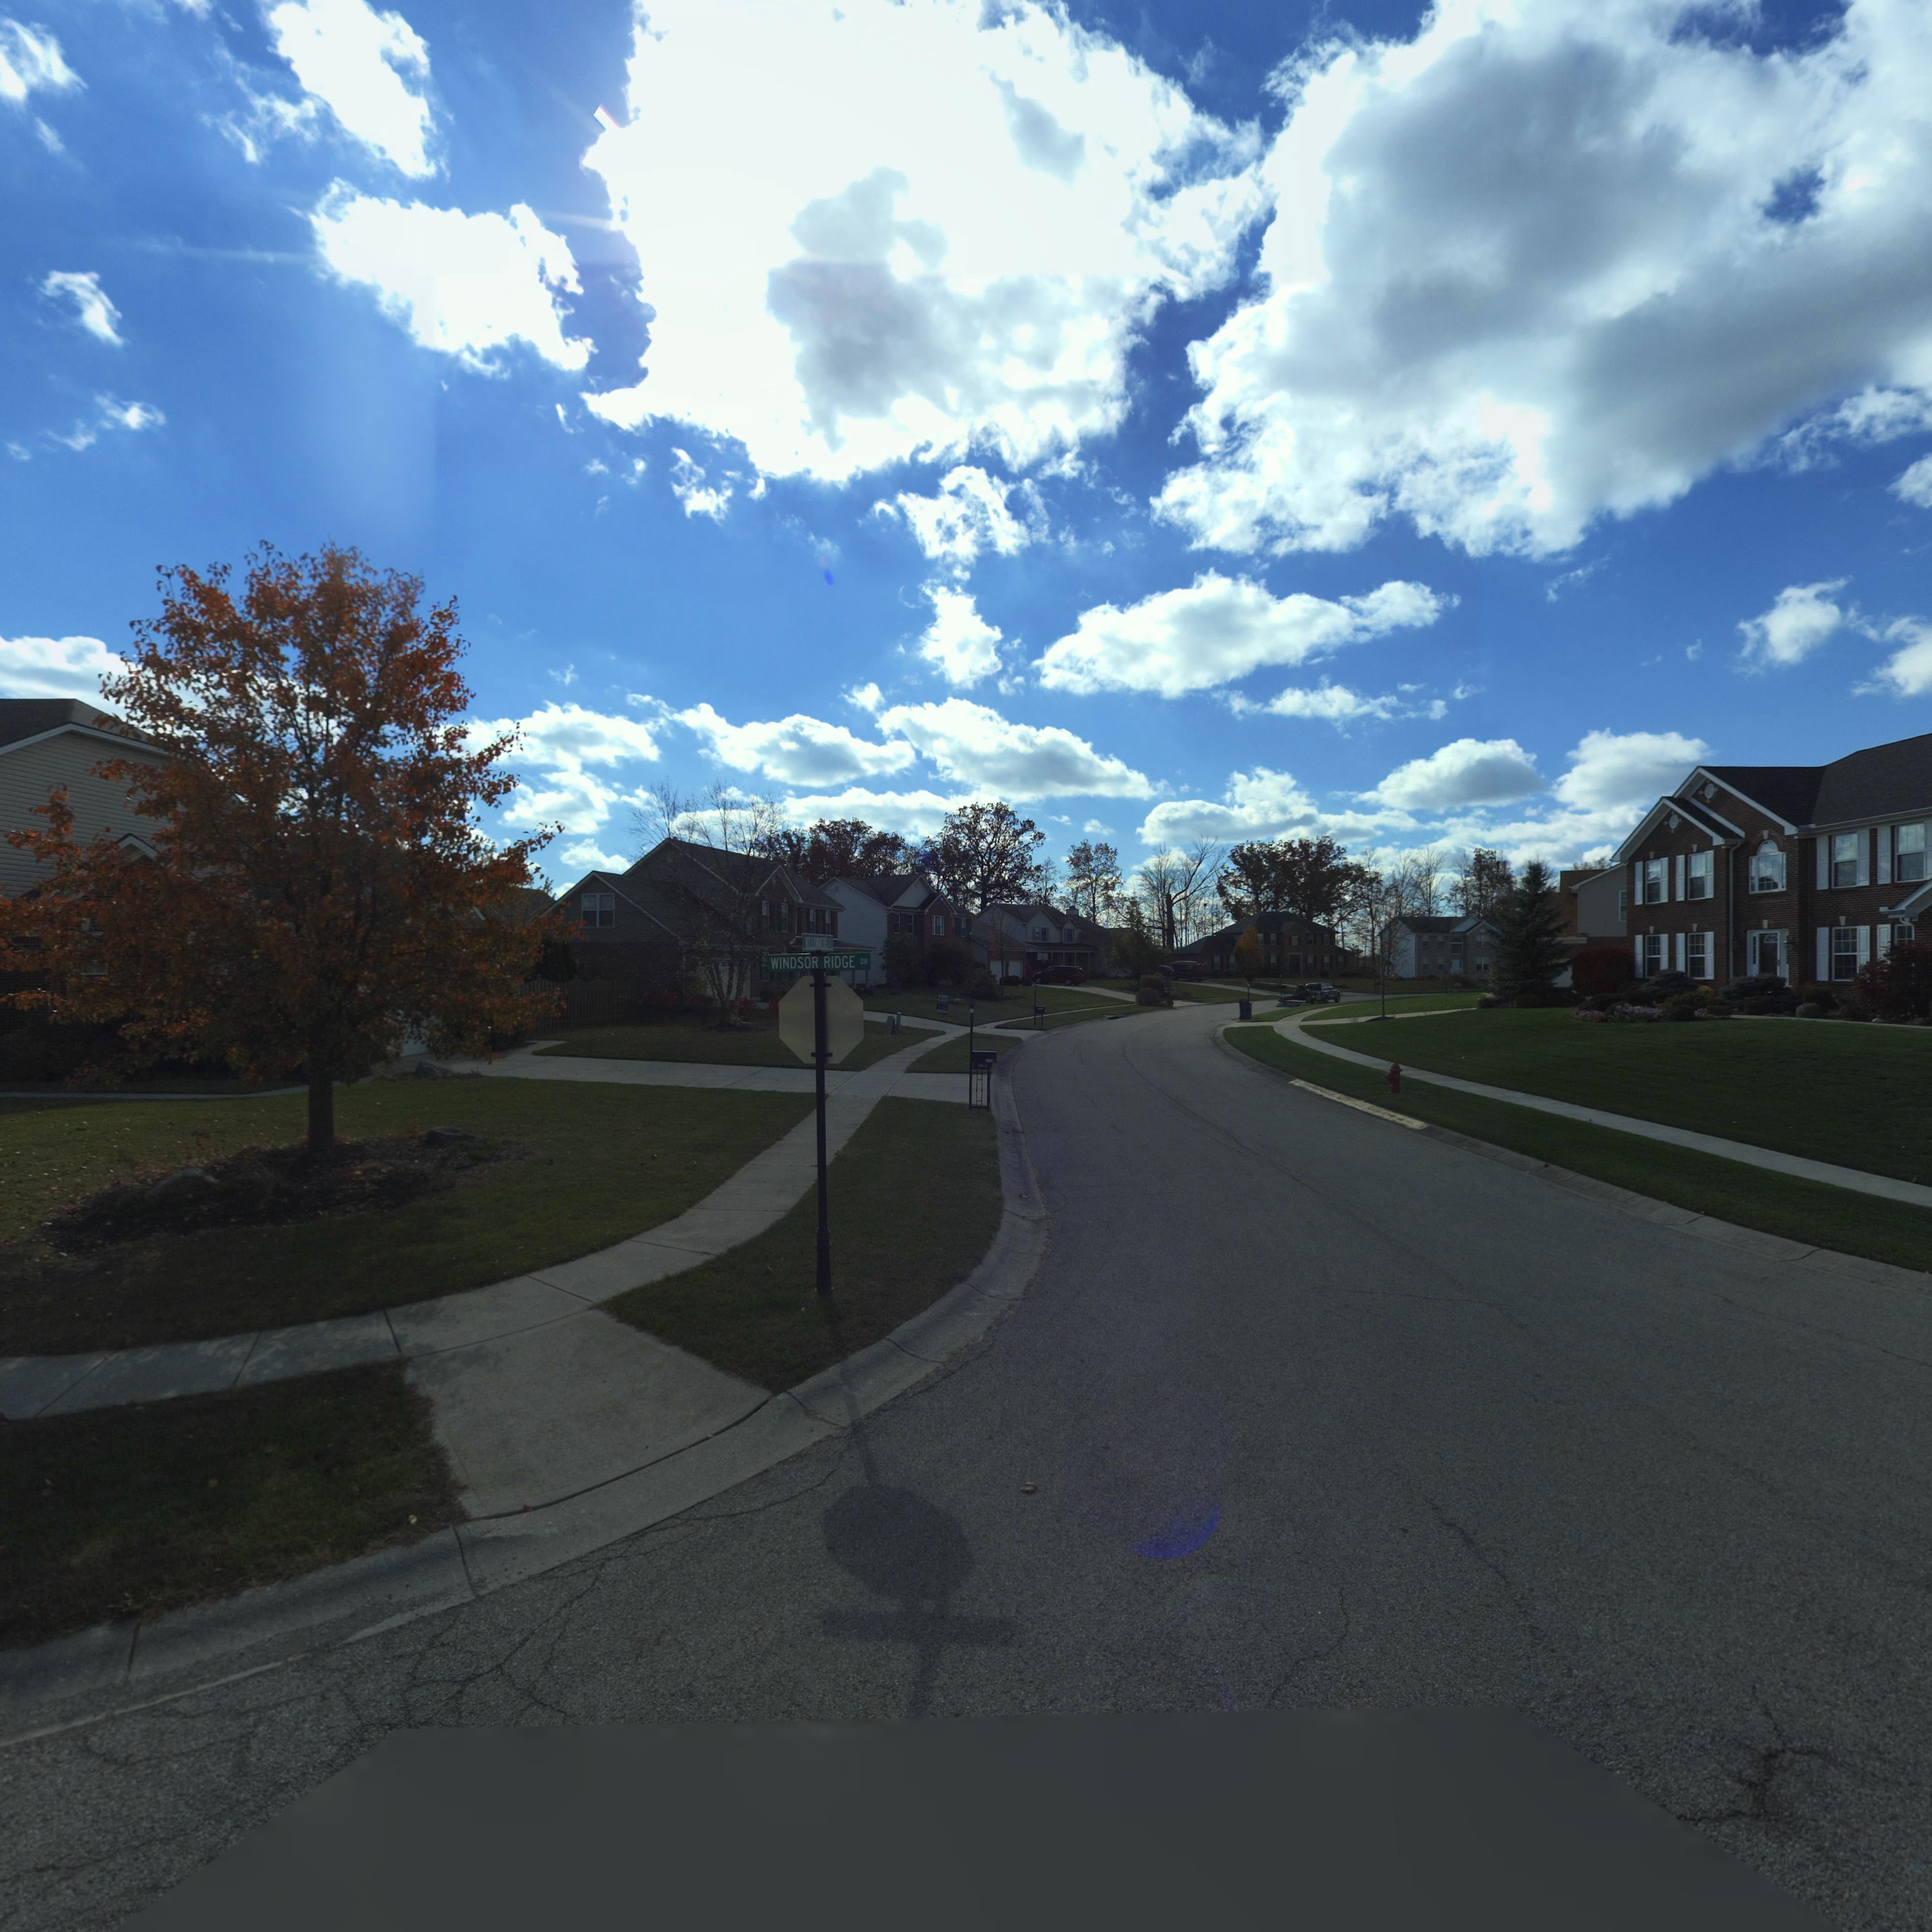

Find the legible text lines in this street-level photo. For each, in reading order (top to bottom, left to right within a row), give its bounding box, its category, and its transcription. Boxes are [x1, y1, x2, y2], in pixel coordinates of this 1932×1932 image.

[770, 955, 869, 970] StreetName: WINDSOR RIDGE DR